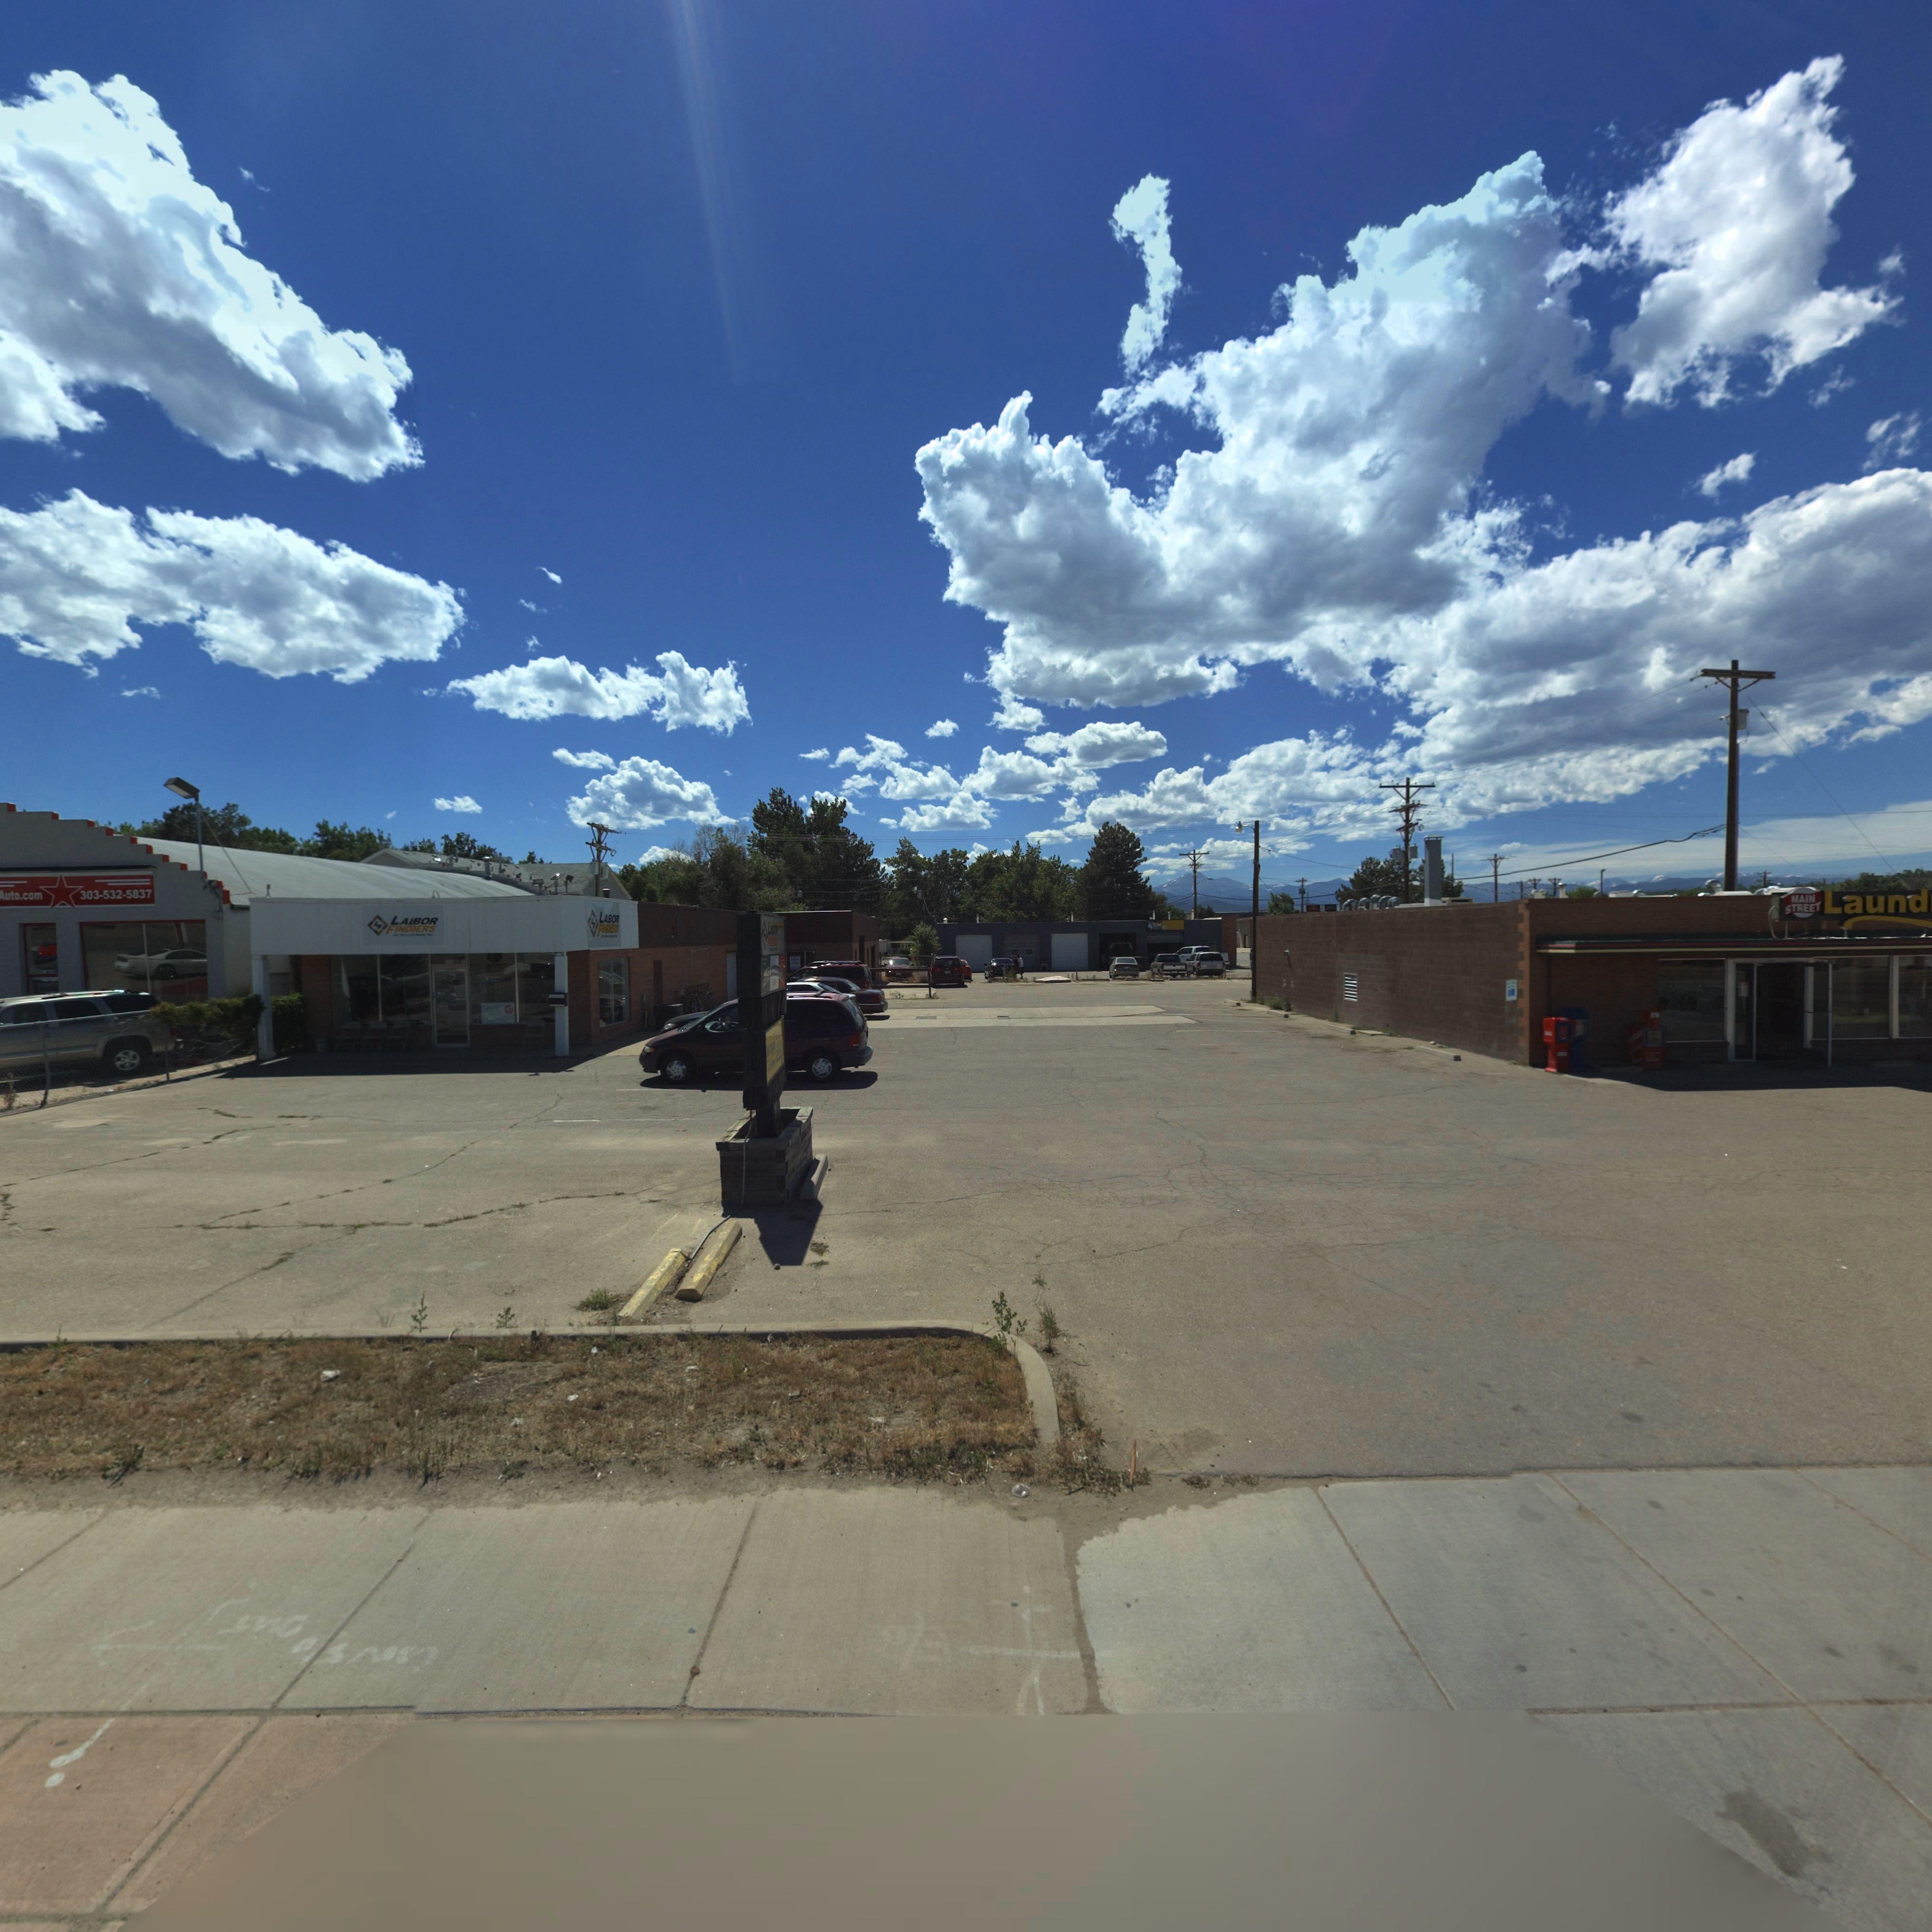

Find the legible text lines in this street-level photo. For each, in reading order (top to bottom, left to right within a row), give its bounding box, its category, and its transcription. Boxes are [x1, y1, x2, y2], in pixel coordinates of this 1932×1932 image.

[1791, 894, 1816, 903] BusinessName: MAIN
[1785, 900, 1822, 915] BusinessName: STREET
[1824, 888, 1928, 914] BusinessName: Laund
[384, 924, 436, 935] BusinessName: FIND*ERS
[389, 915, 439, 925] BusinessName: LA*BOR
[596, 923, 619, 937] BusinessName: FINDER*
[599, 911, 620, 924] BusinessName: LABOR
[767, 920, 778, 936] BusinessName: L****
[1152, 922, 1161, 926] BusinessName: TM
[445, 959, 453, 964] StreetNumber: 1**